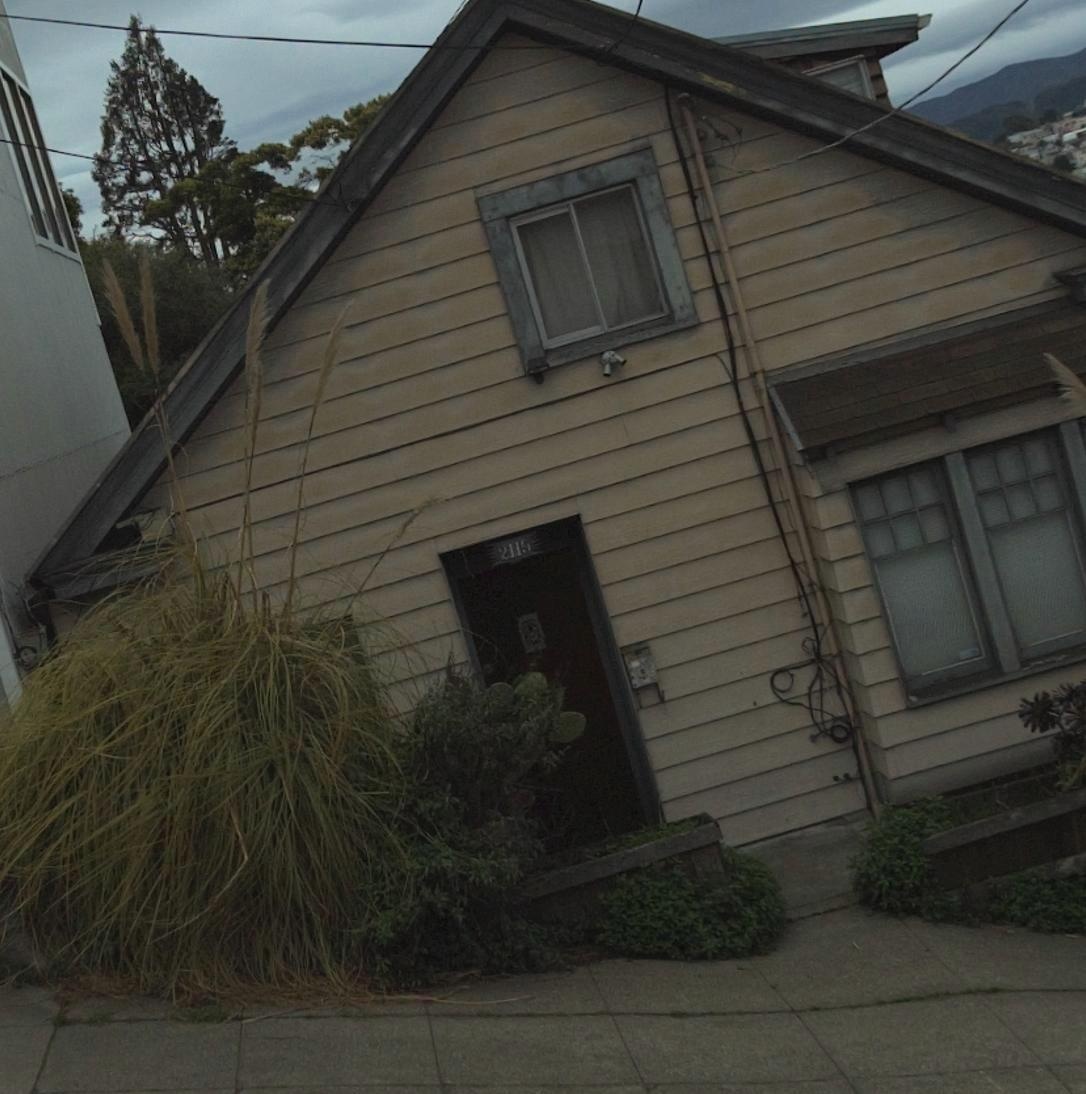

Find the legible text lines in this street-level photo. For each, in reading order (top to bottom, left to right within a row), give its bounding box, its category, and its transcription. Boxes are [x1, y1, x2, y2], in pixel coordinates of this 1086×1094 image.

[495, 536, 534, 563] StreetNumber: 2119